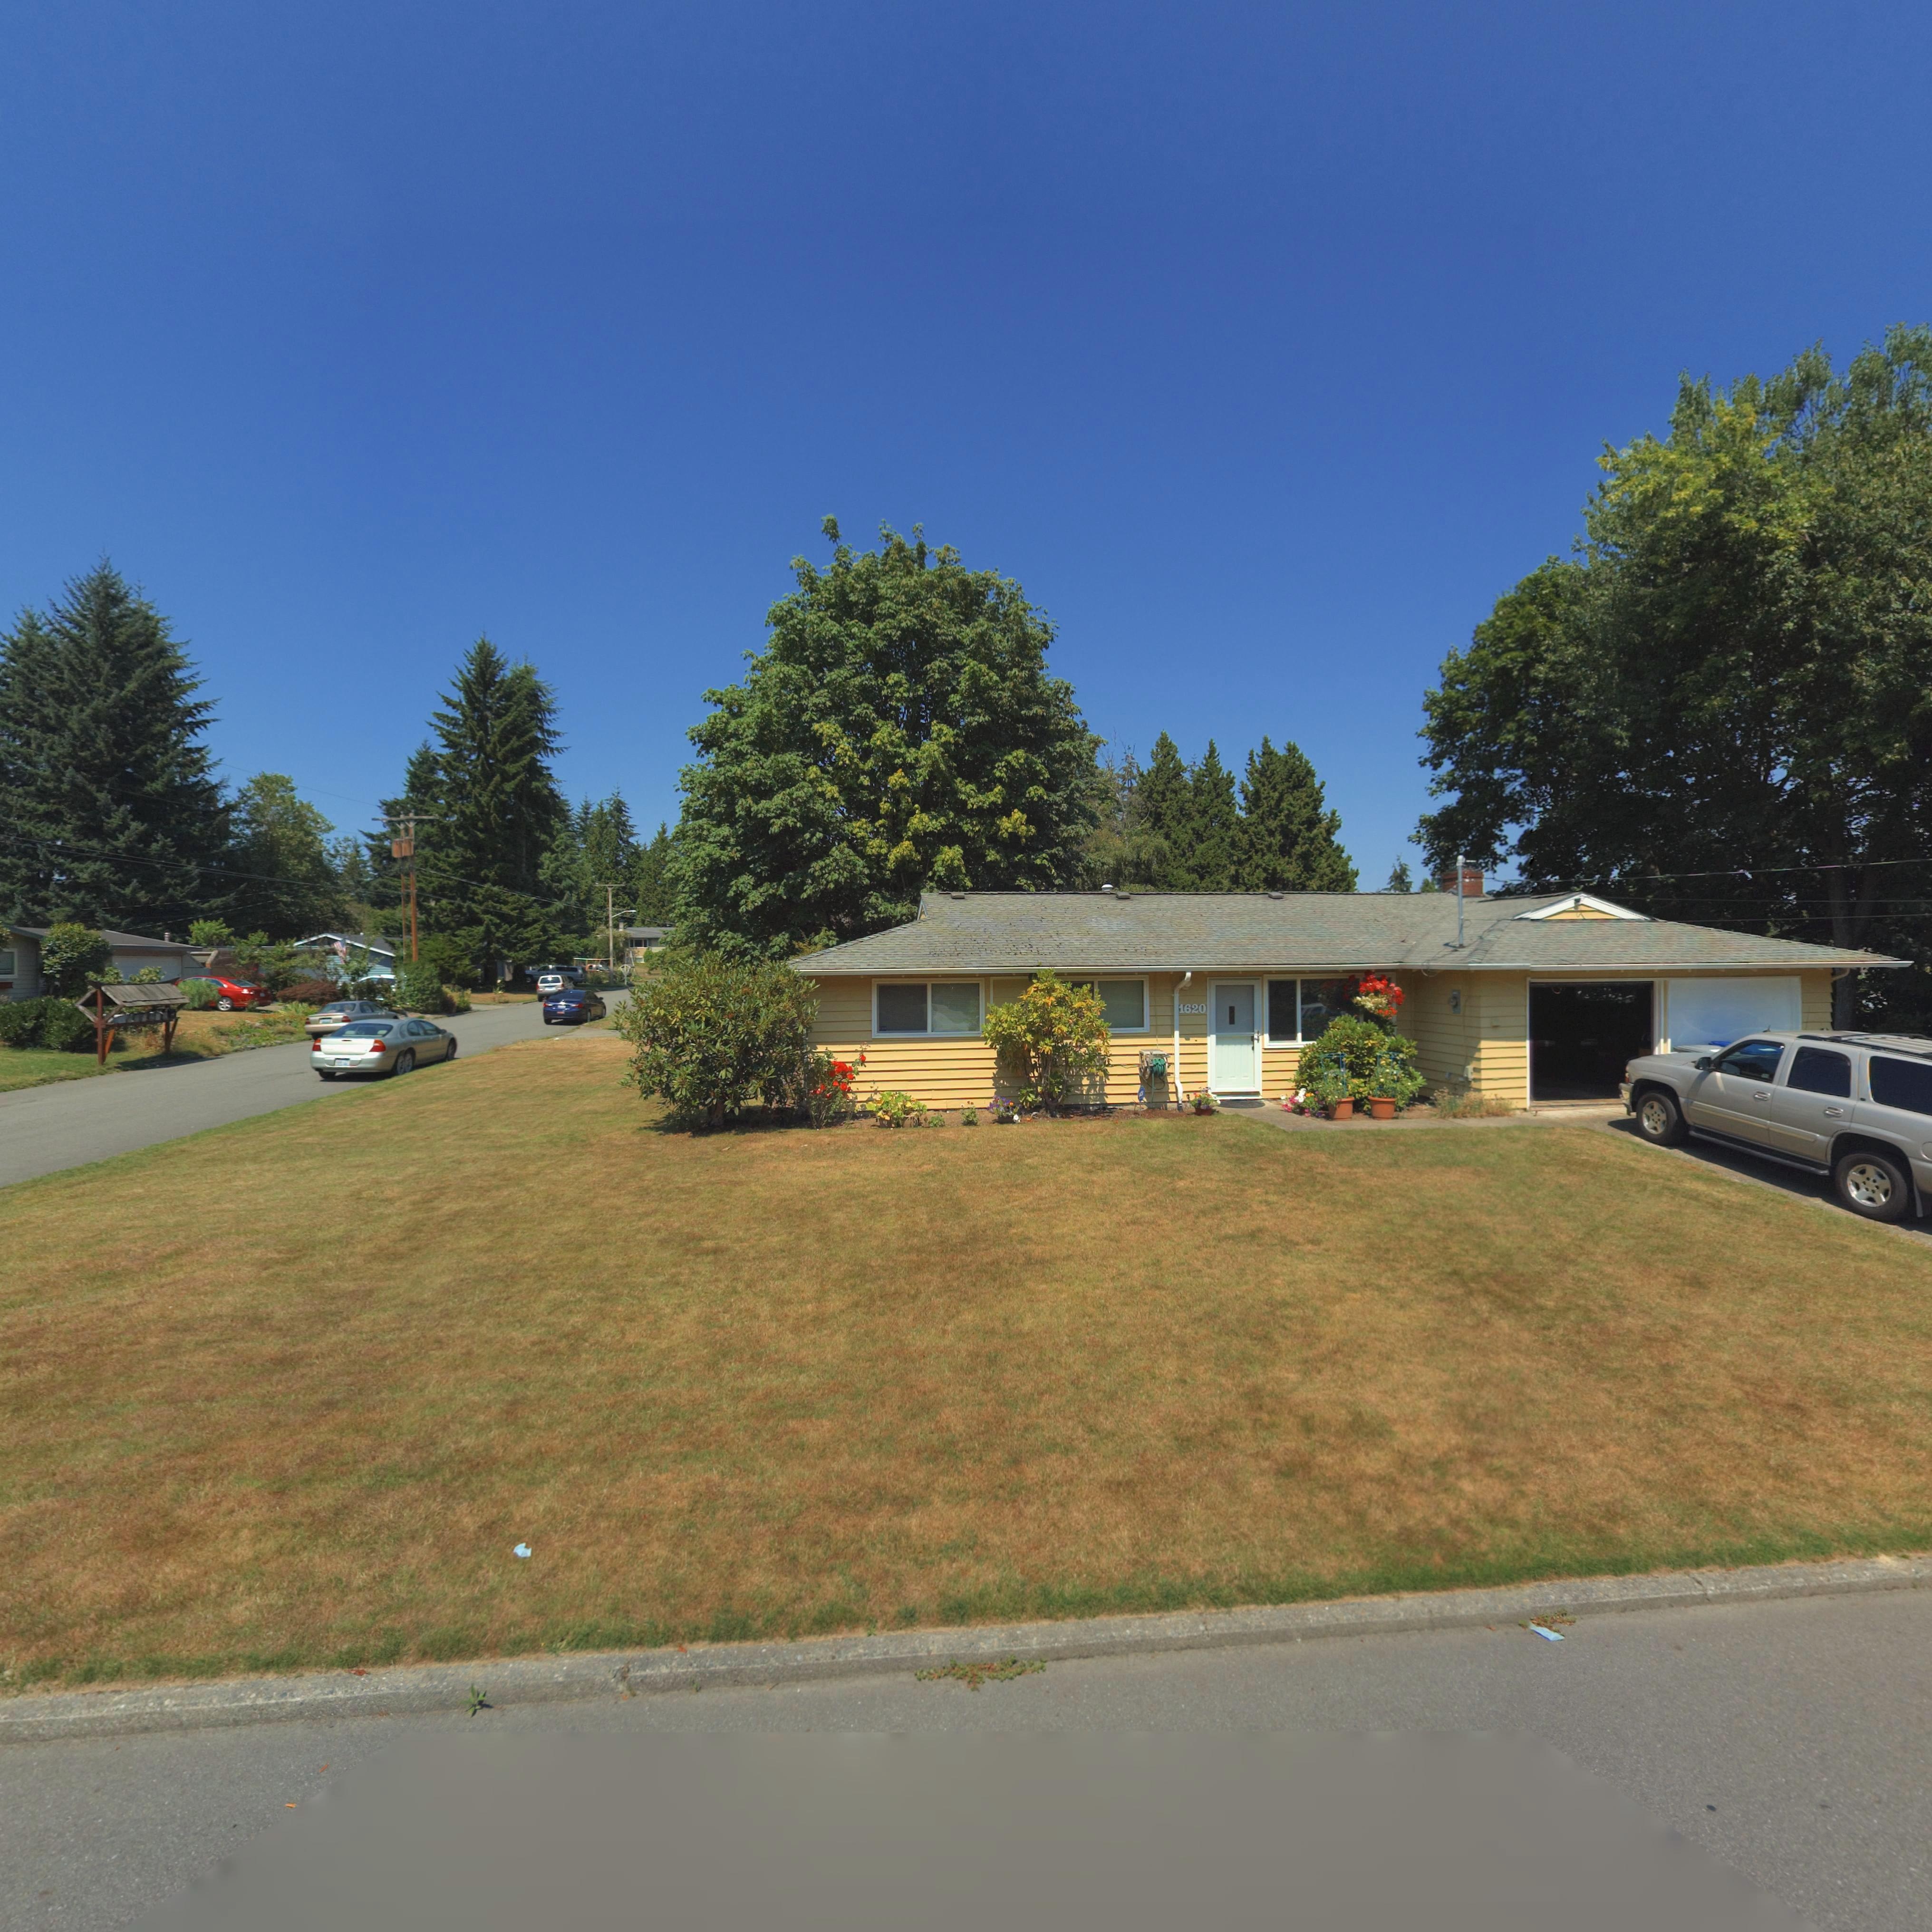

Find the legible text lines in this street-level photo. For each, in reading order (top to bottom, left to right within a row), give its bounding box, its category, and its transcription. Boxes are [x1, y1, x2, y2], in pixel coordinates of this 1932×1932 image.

[1179, 1002, 1206, 1014] StreetNumber: 1620